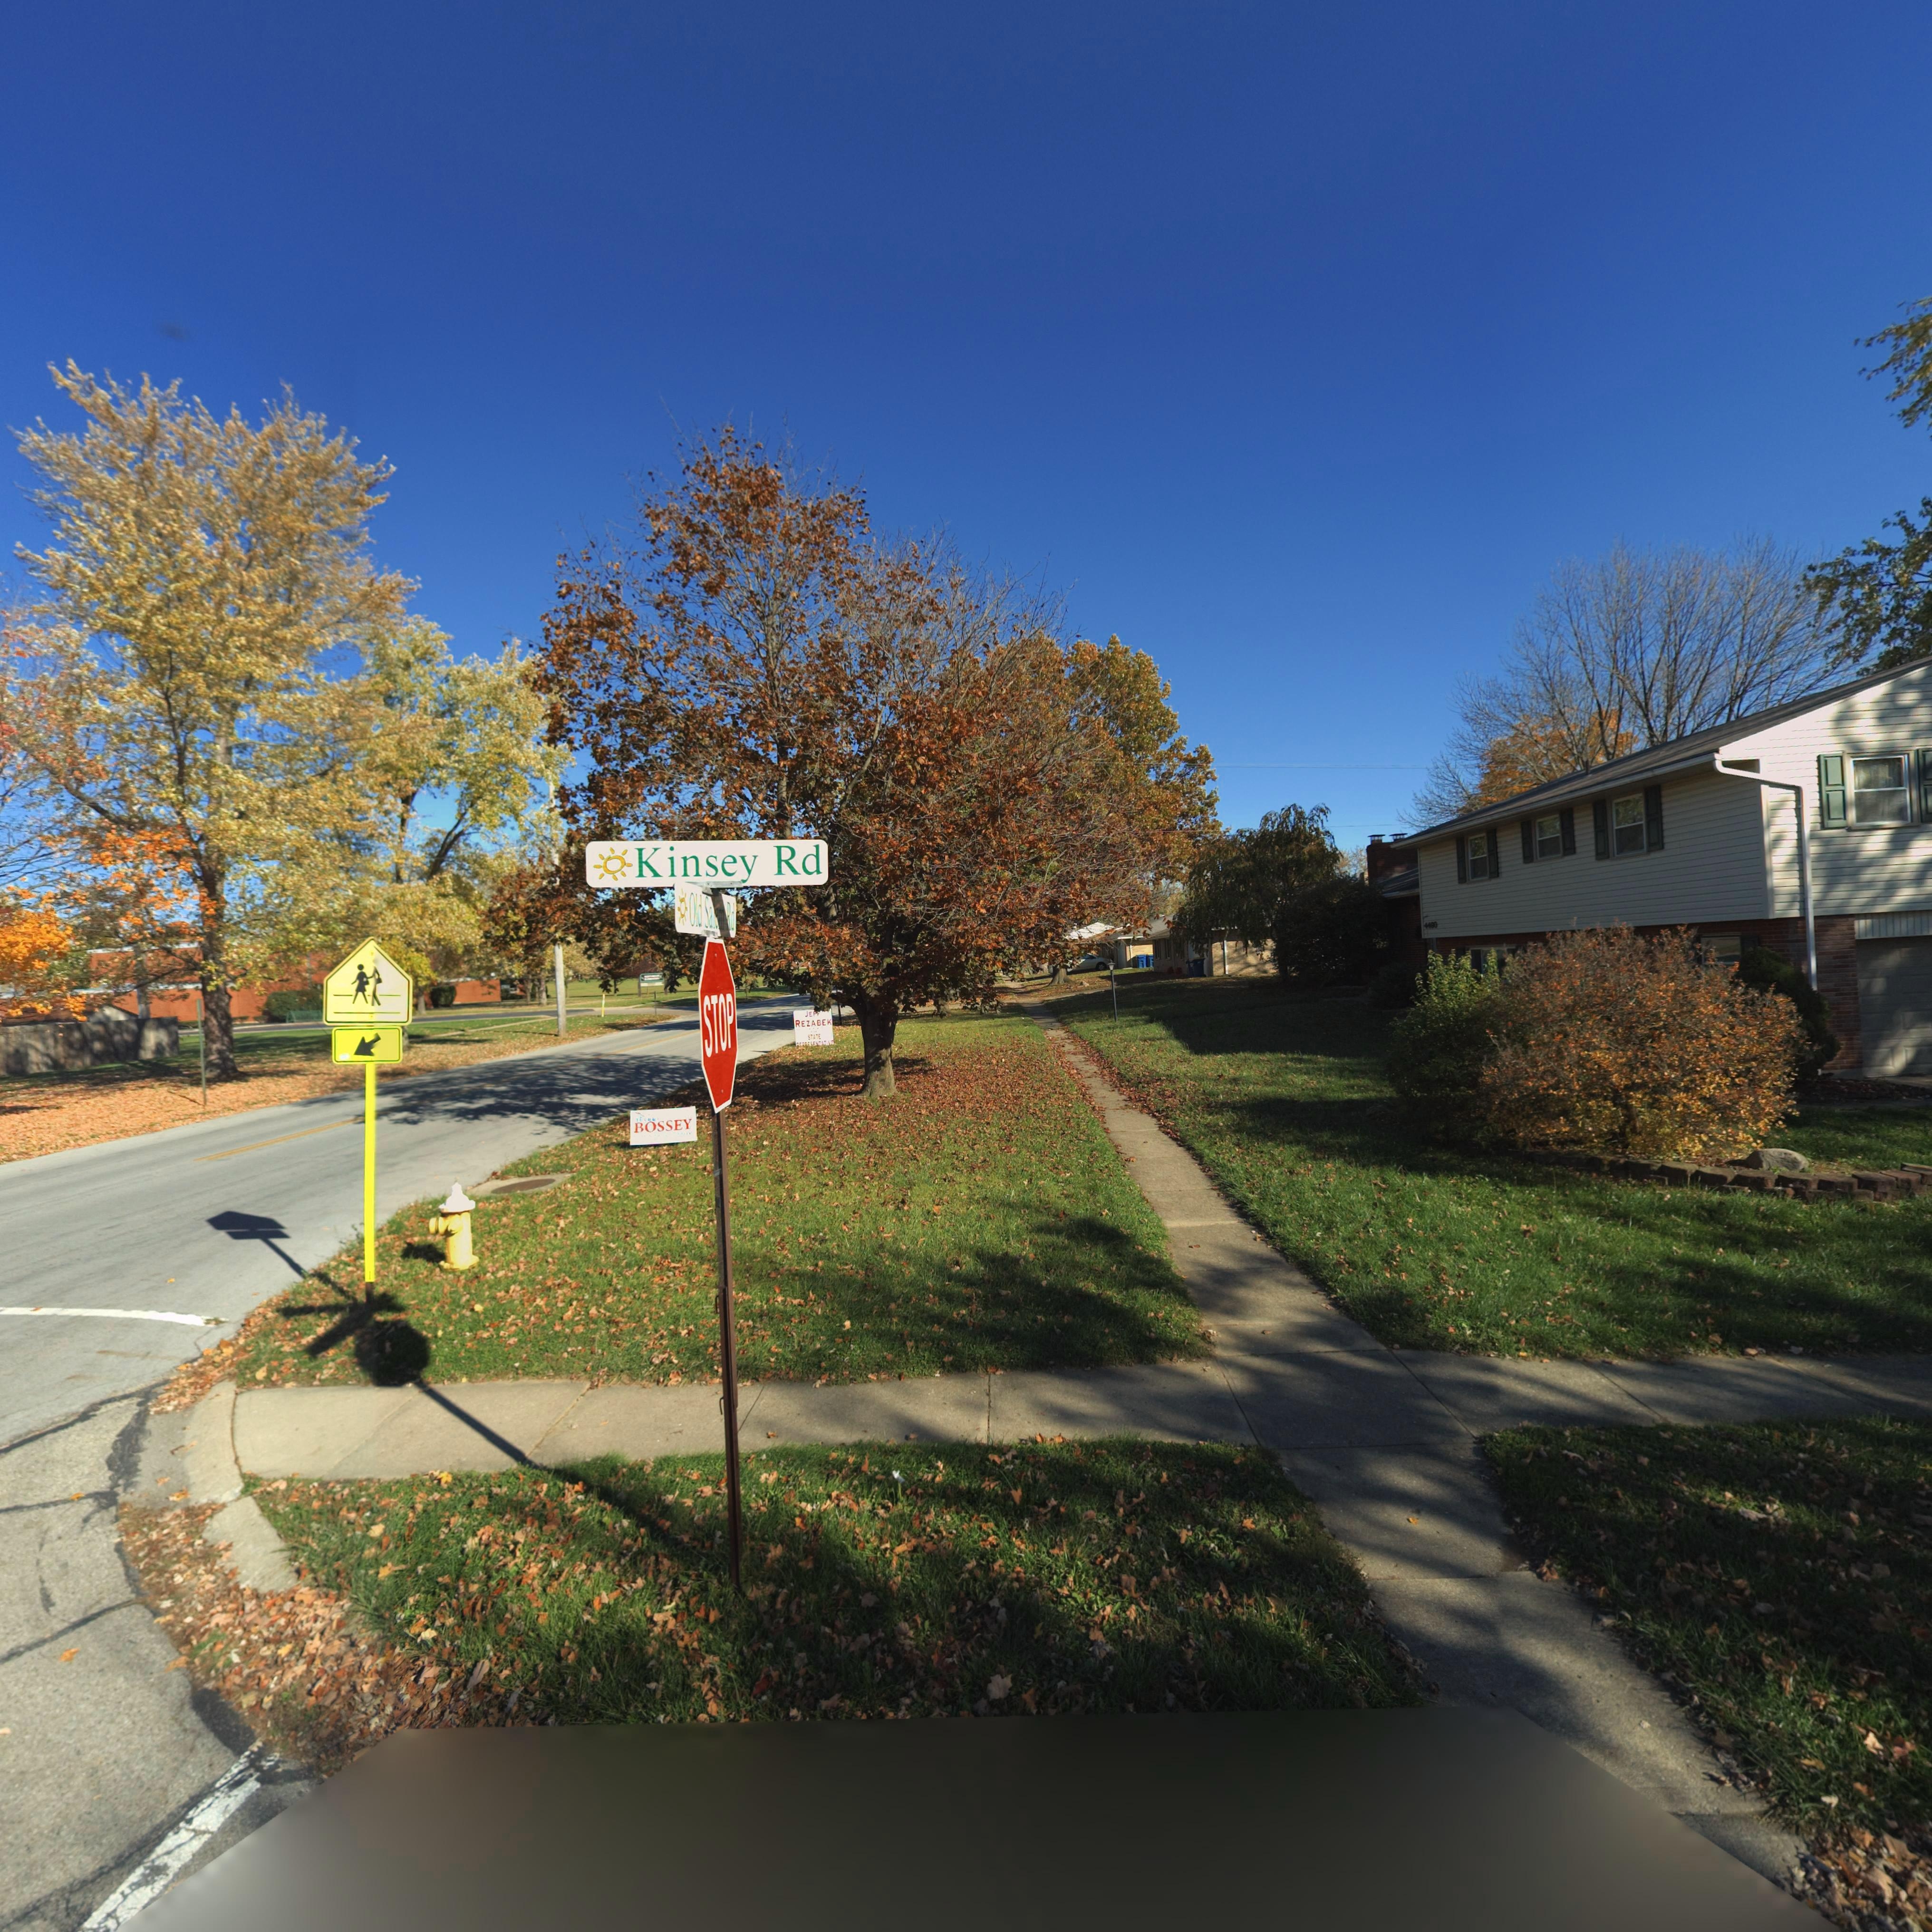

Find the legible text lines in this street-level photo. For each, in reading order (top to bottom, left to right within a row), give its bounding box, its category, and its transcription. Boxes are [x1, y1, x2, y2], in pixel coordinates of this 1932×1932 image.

[633, 843, 823, 884] StreetName: Kinsey Rd
[688, 891, 735, 933] StreetName: Old Salem Rd
[1423, 920, 1438, 930] StreetNumber: 4460